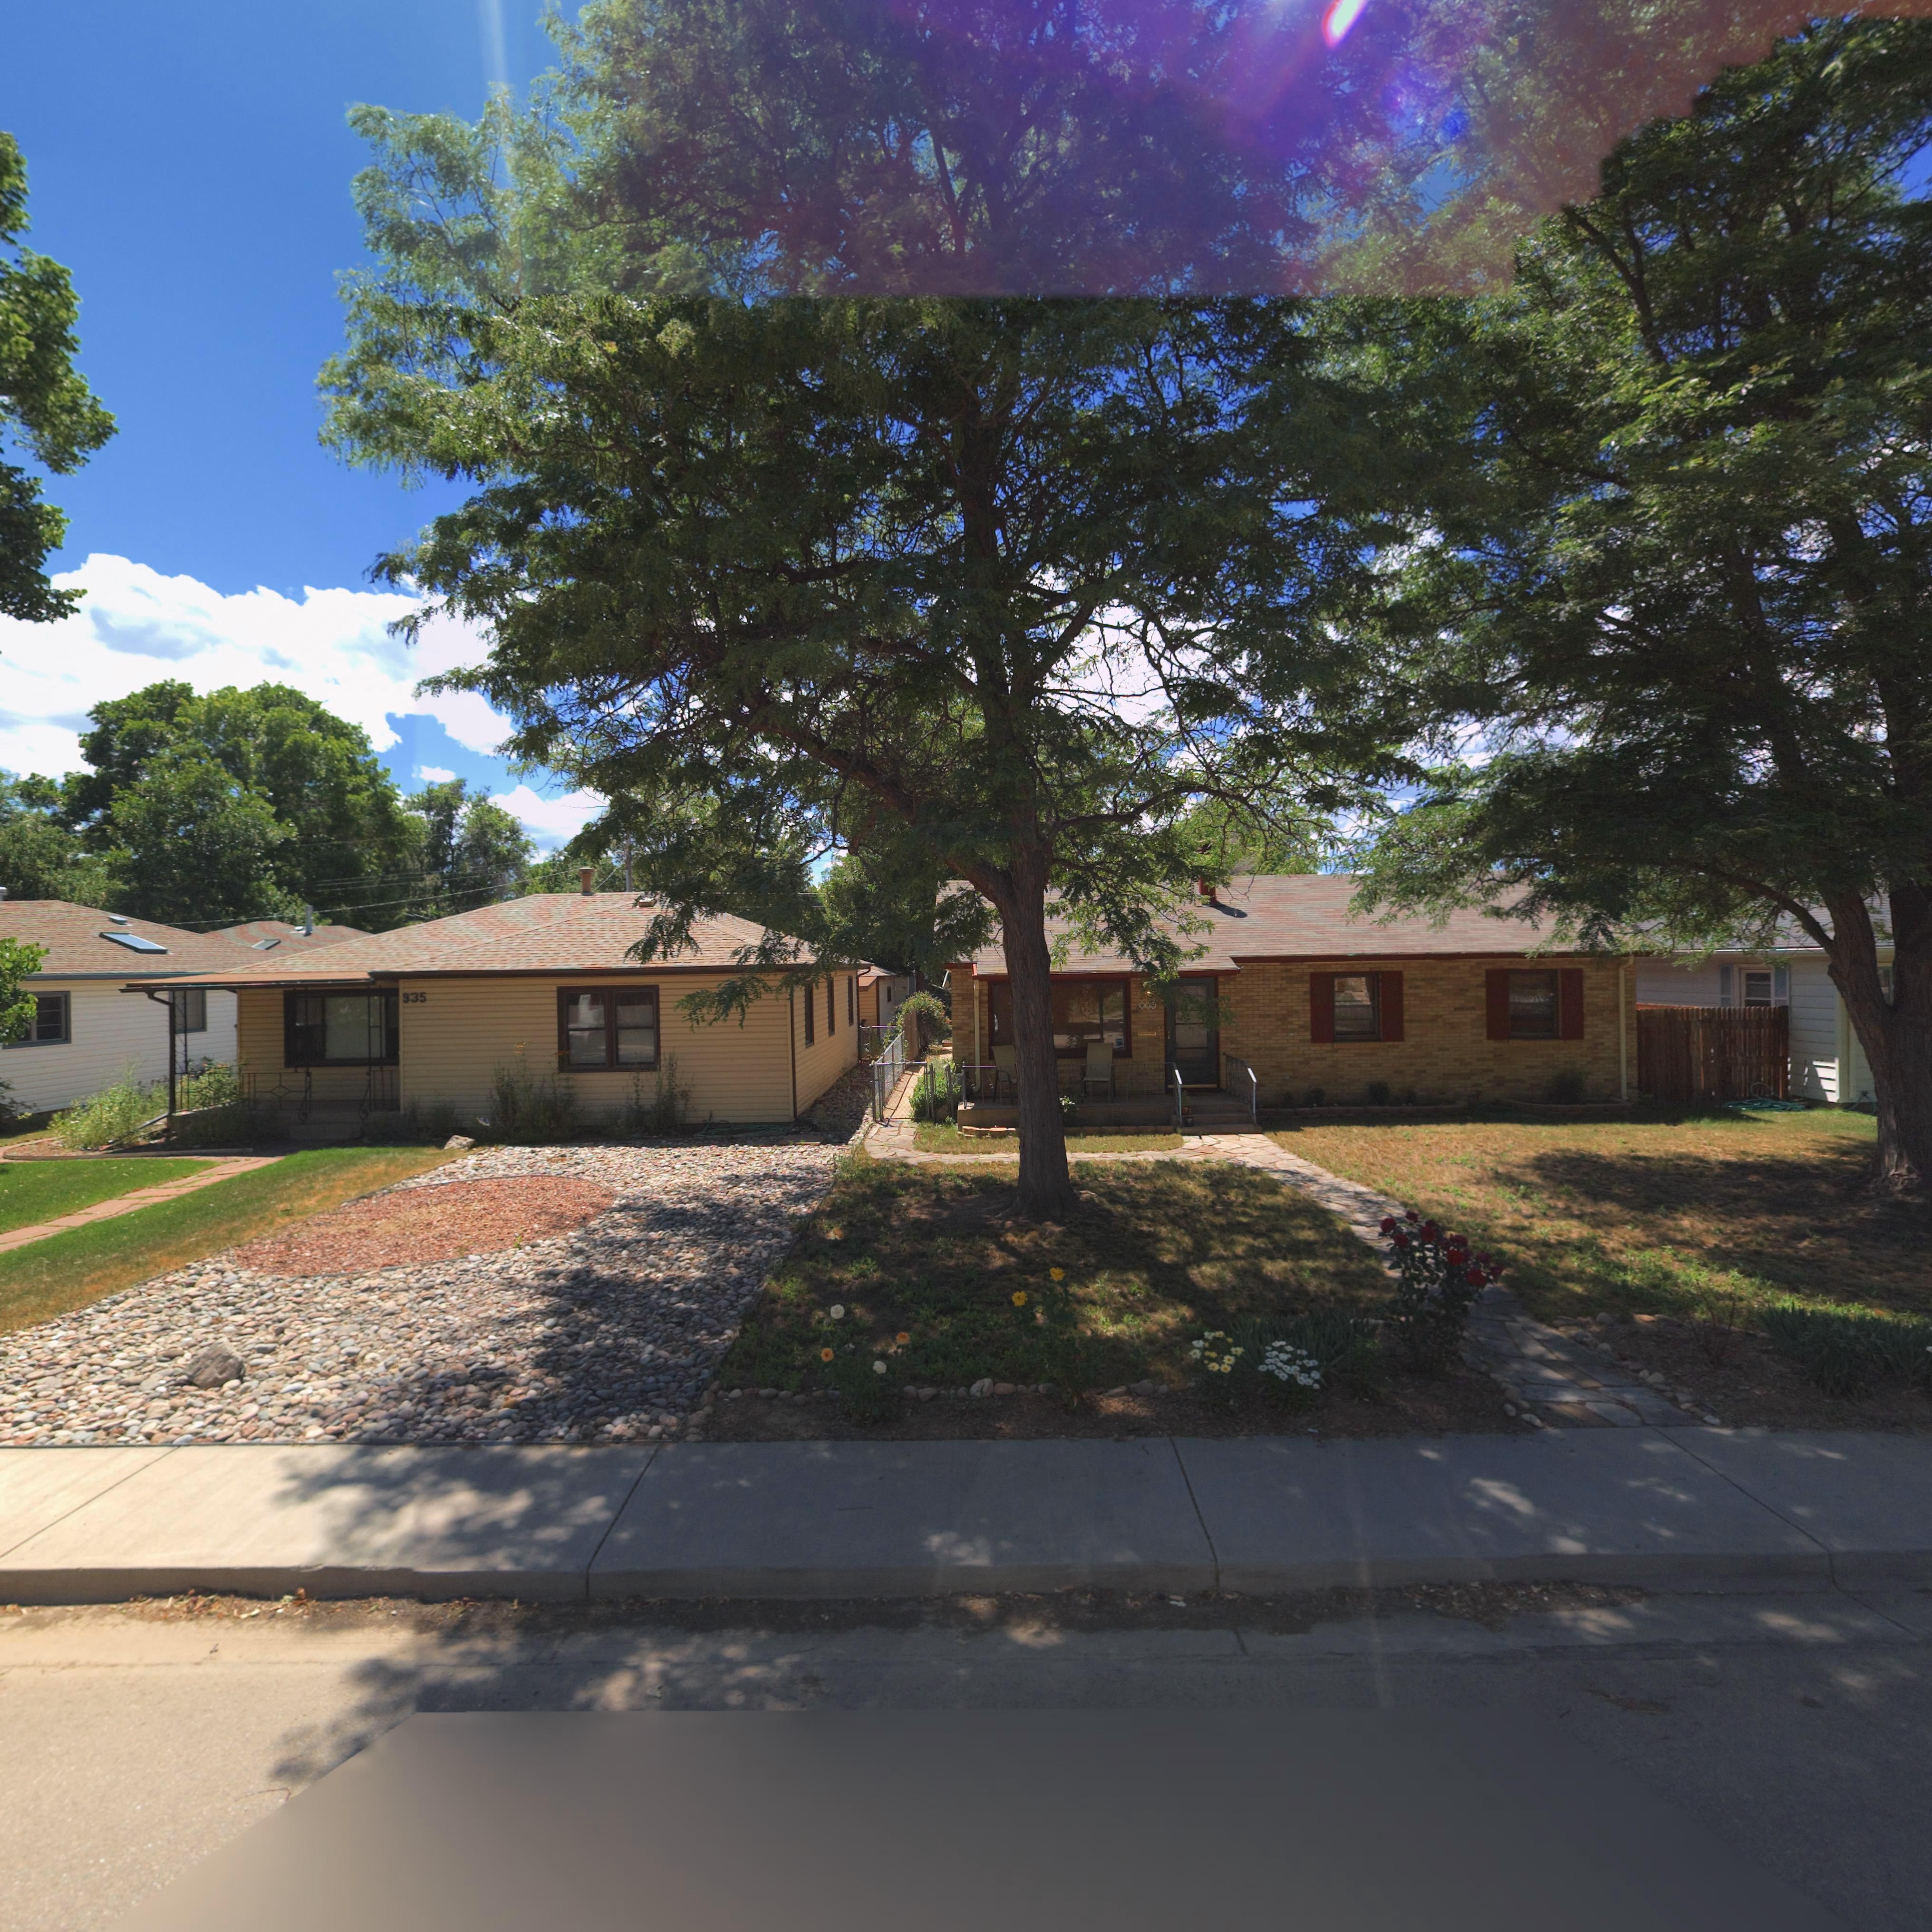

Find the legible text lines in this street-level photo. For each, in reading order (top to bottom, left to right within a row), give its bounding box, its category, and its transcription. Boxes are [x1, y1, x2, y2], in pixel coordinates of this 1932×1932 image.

[402, 992, 426, 1004] StreetNumber: 935
[1140, 1003, 1155, 1007] StreetNumber: 939